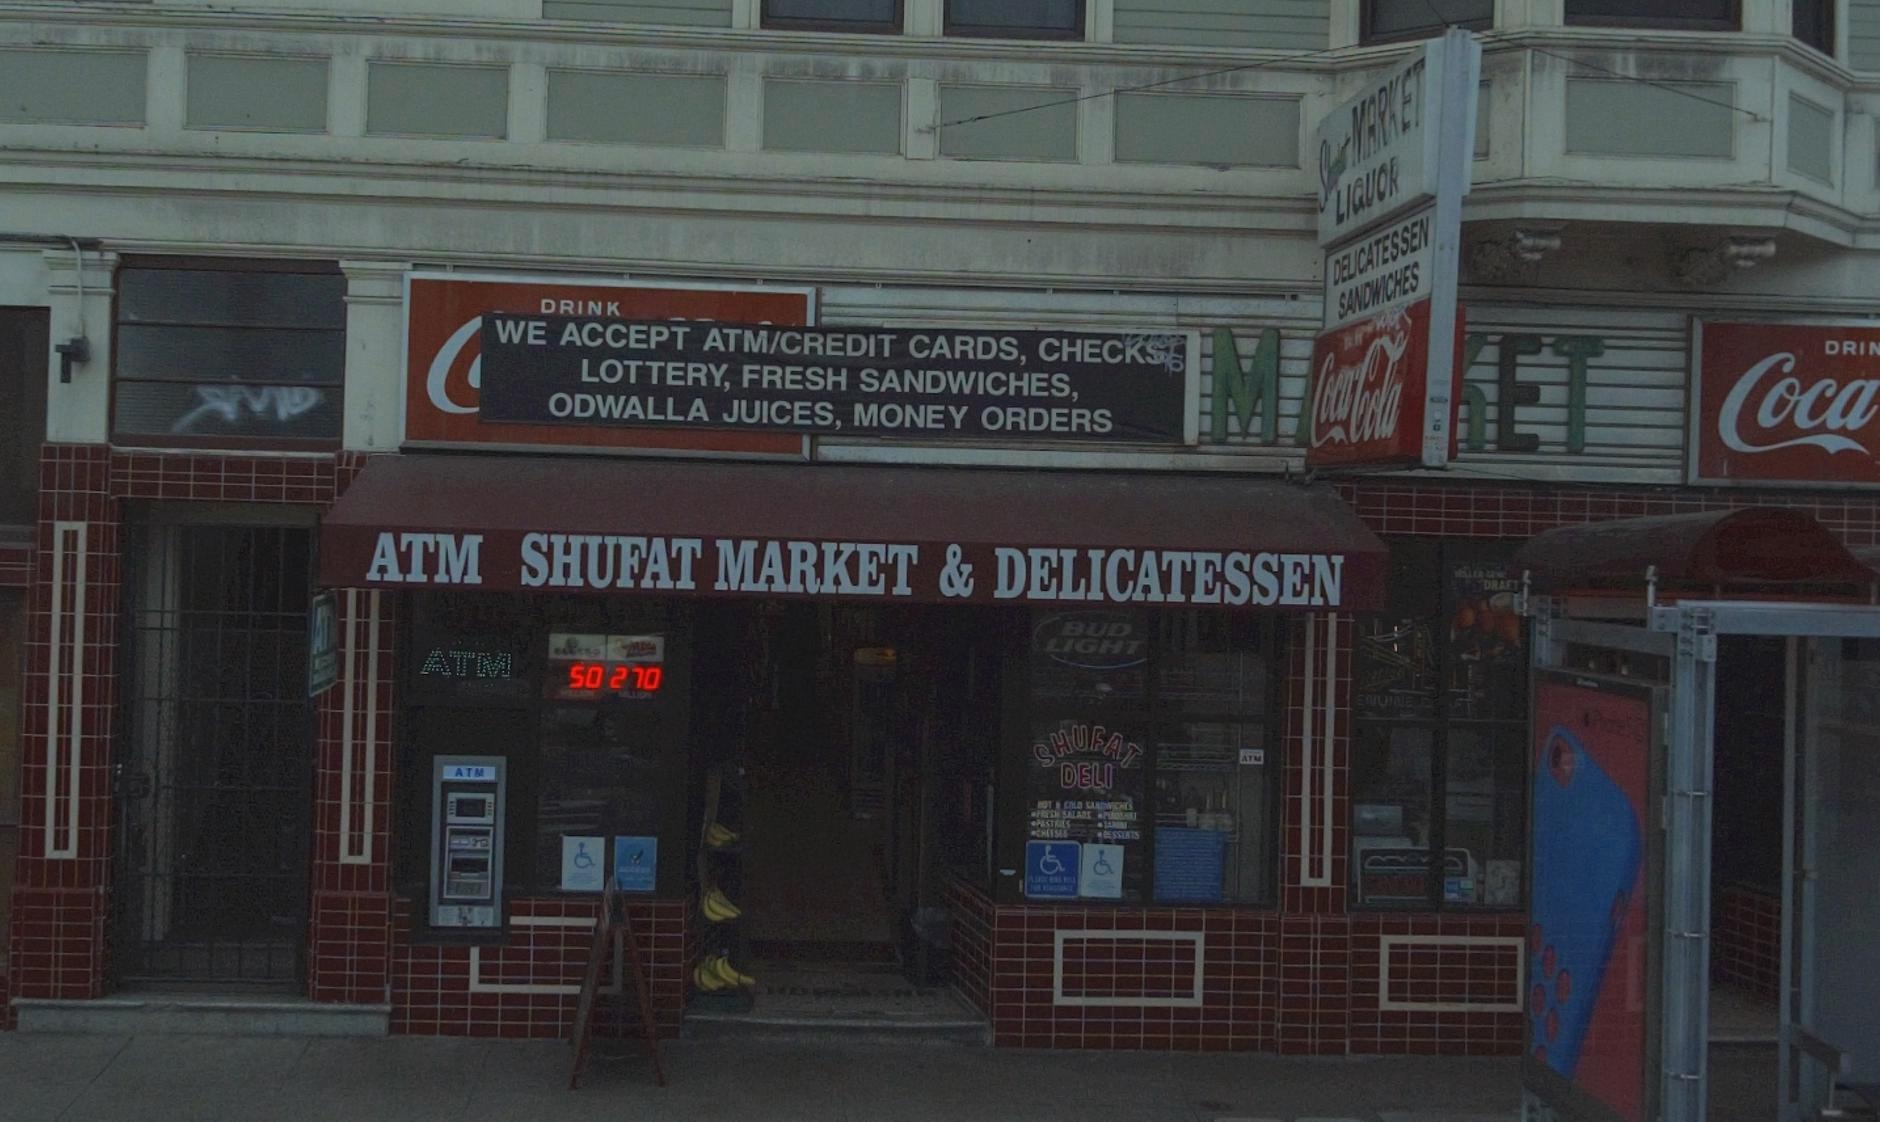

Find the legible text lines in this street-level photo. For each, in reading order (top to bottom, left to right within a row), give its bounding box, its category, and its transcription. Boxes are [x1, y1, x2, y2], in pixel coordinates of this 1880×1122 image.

[1350, 55, 1426, 171] BusinessName: MARKET
[1317, 137, 1330, 215] BusinessName: S
[1335, 151, 1404, 228] None: LIQUOR
[1331, 215, 1430, 290] None: DELICATESSEN
[540, 298, 622, 317] None: DRINK
[1336, 257, 1423, 324] None: SANDWICHES
[489, 317, 1174, 372] None: WE ACCEPT ATM/CREDIT CARDS, CHEC**
[1824, 339, 1867, 357] None: DRI
[221, 365, 293, 431] None: M
[539, 388, 1116, 437] None: ODWALLA JUICES, MONEY ORDERS
[578, 356, 1081, 405] None: LOTTERY, FRESH SANDWICHES
[1308, 324, 1418, 458] None: Coca-Cola
[1207, 323, 1608, 458] BusinessName: M*ET
[1710, 349, 1880, 457] None: Coca
[364, 532, 485, 586] None: ATM
[520, 530, 1350, 613] BusinessName: SHUFAT MARKET & DELICATESSEN
[1482, 578, 1521, 591] None: DRAFT
[309, 599, 328, 663] None: A
[420, 646, 512, 678] None: ATM
[568, 664, 662, 690] None: 50 270
[1045, 636, 1146, 655] None: LIGHT
[1061, 619, 1131, 638] None: BUD
[1363, 692, 1474, 714] None: NUINE D*FT
[453, 766, 485, 780] None: ATM
[1027, 720, 1146, 772] BusinessName: SHUFAT
[1060, 762, 1113, 791] BusinessName: DELI
[1240, 754, 1263, 762] None: ATM
[1036, 800, 1085, 811] None: HOT & COLD